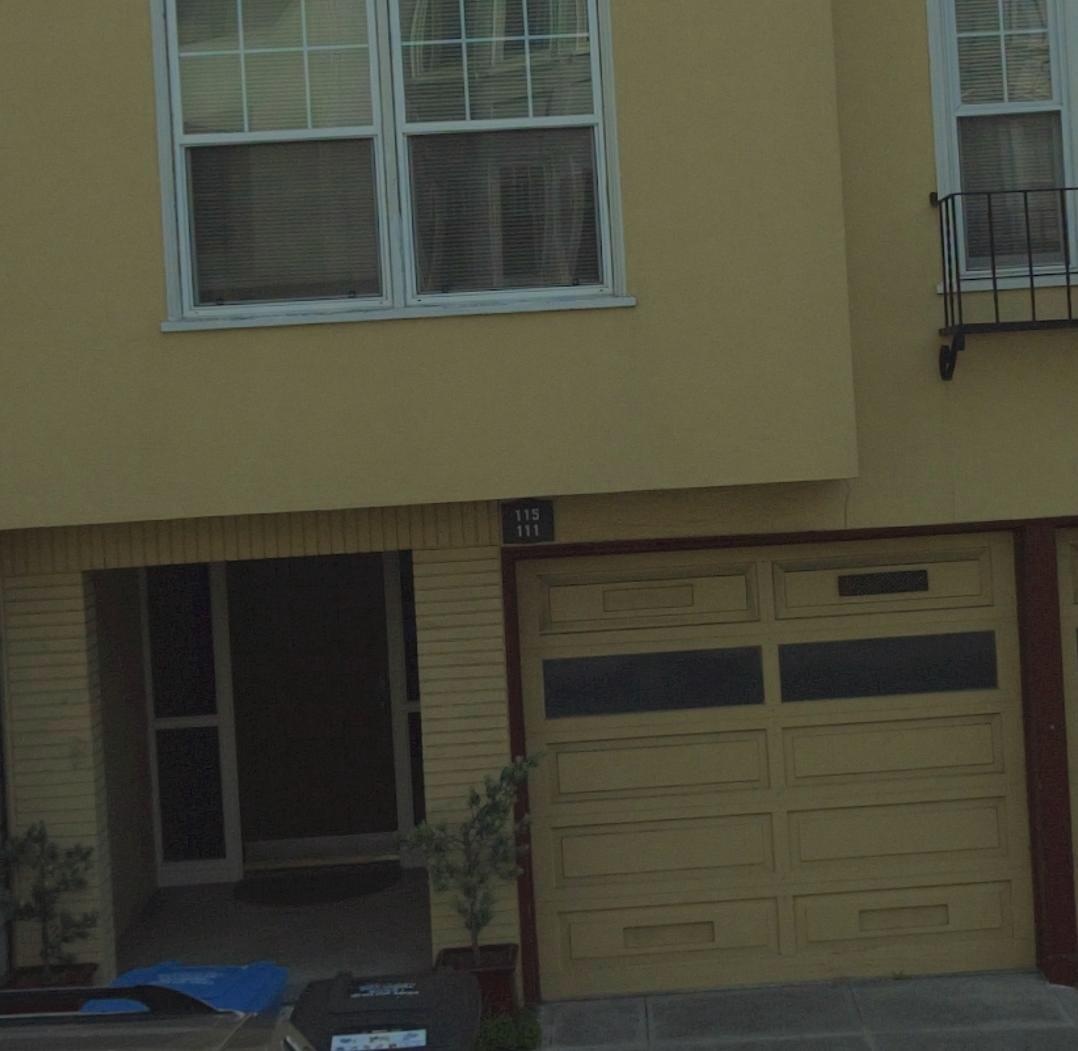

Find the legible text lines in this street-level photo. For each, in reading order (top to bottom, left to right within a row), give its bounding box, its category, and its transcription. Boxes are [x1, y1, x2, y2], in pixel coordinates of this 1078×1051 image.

[514, 507, 542, 522] StreetNumber: 115
[515, 524, 540, 538] StreetNumber: 111